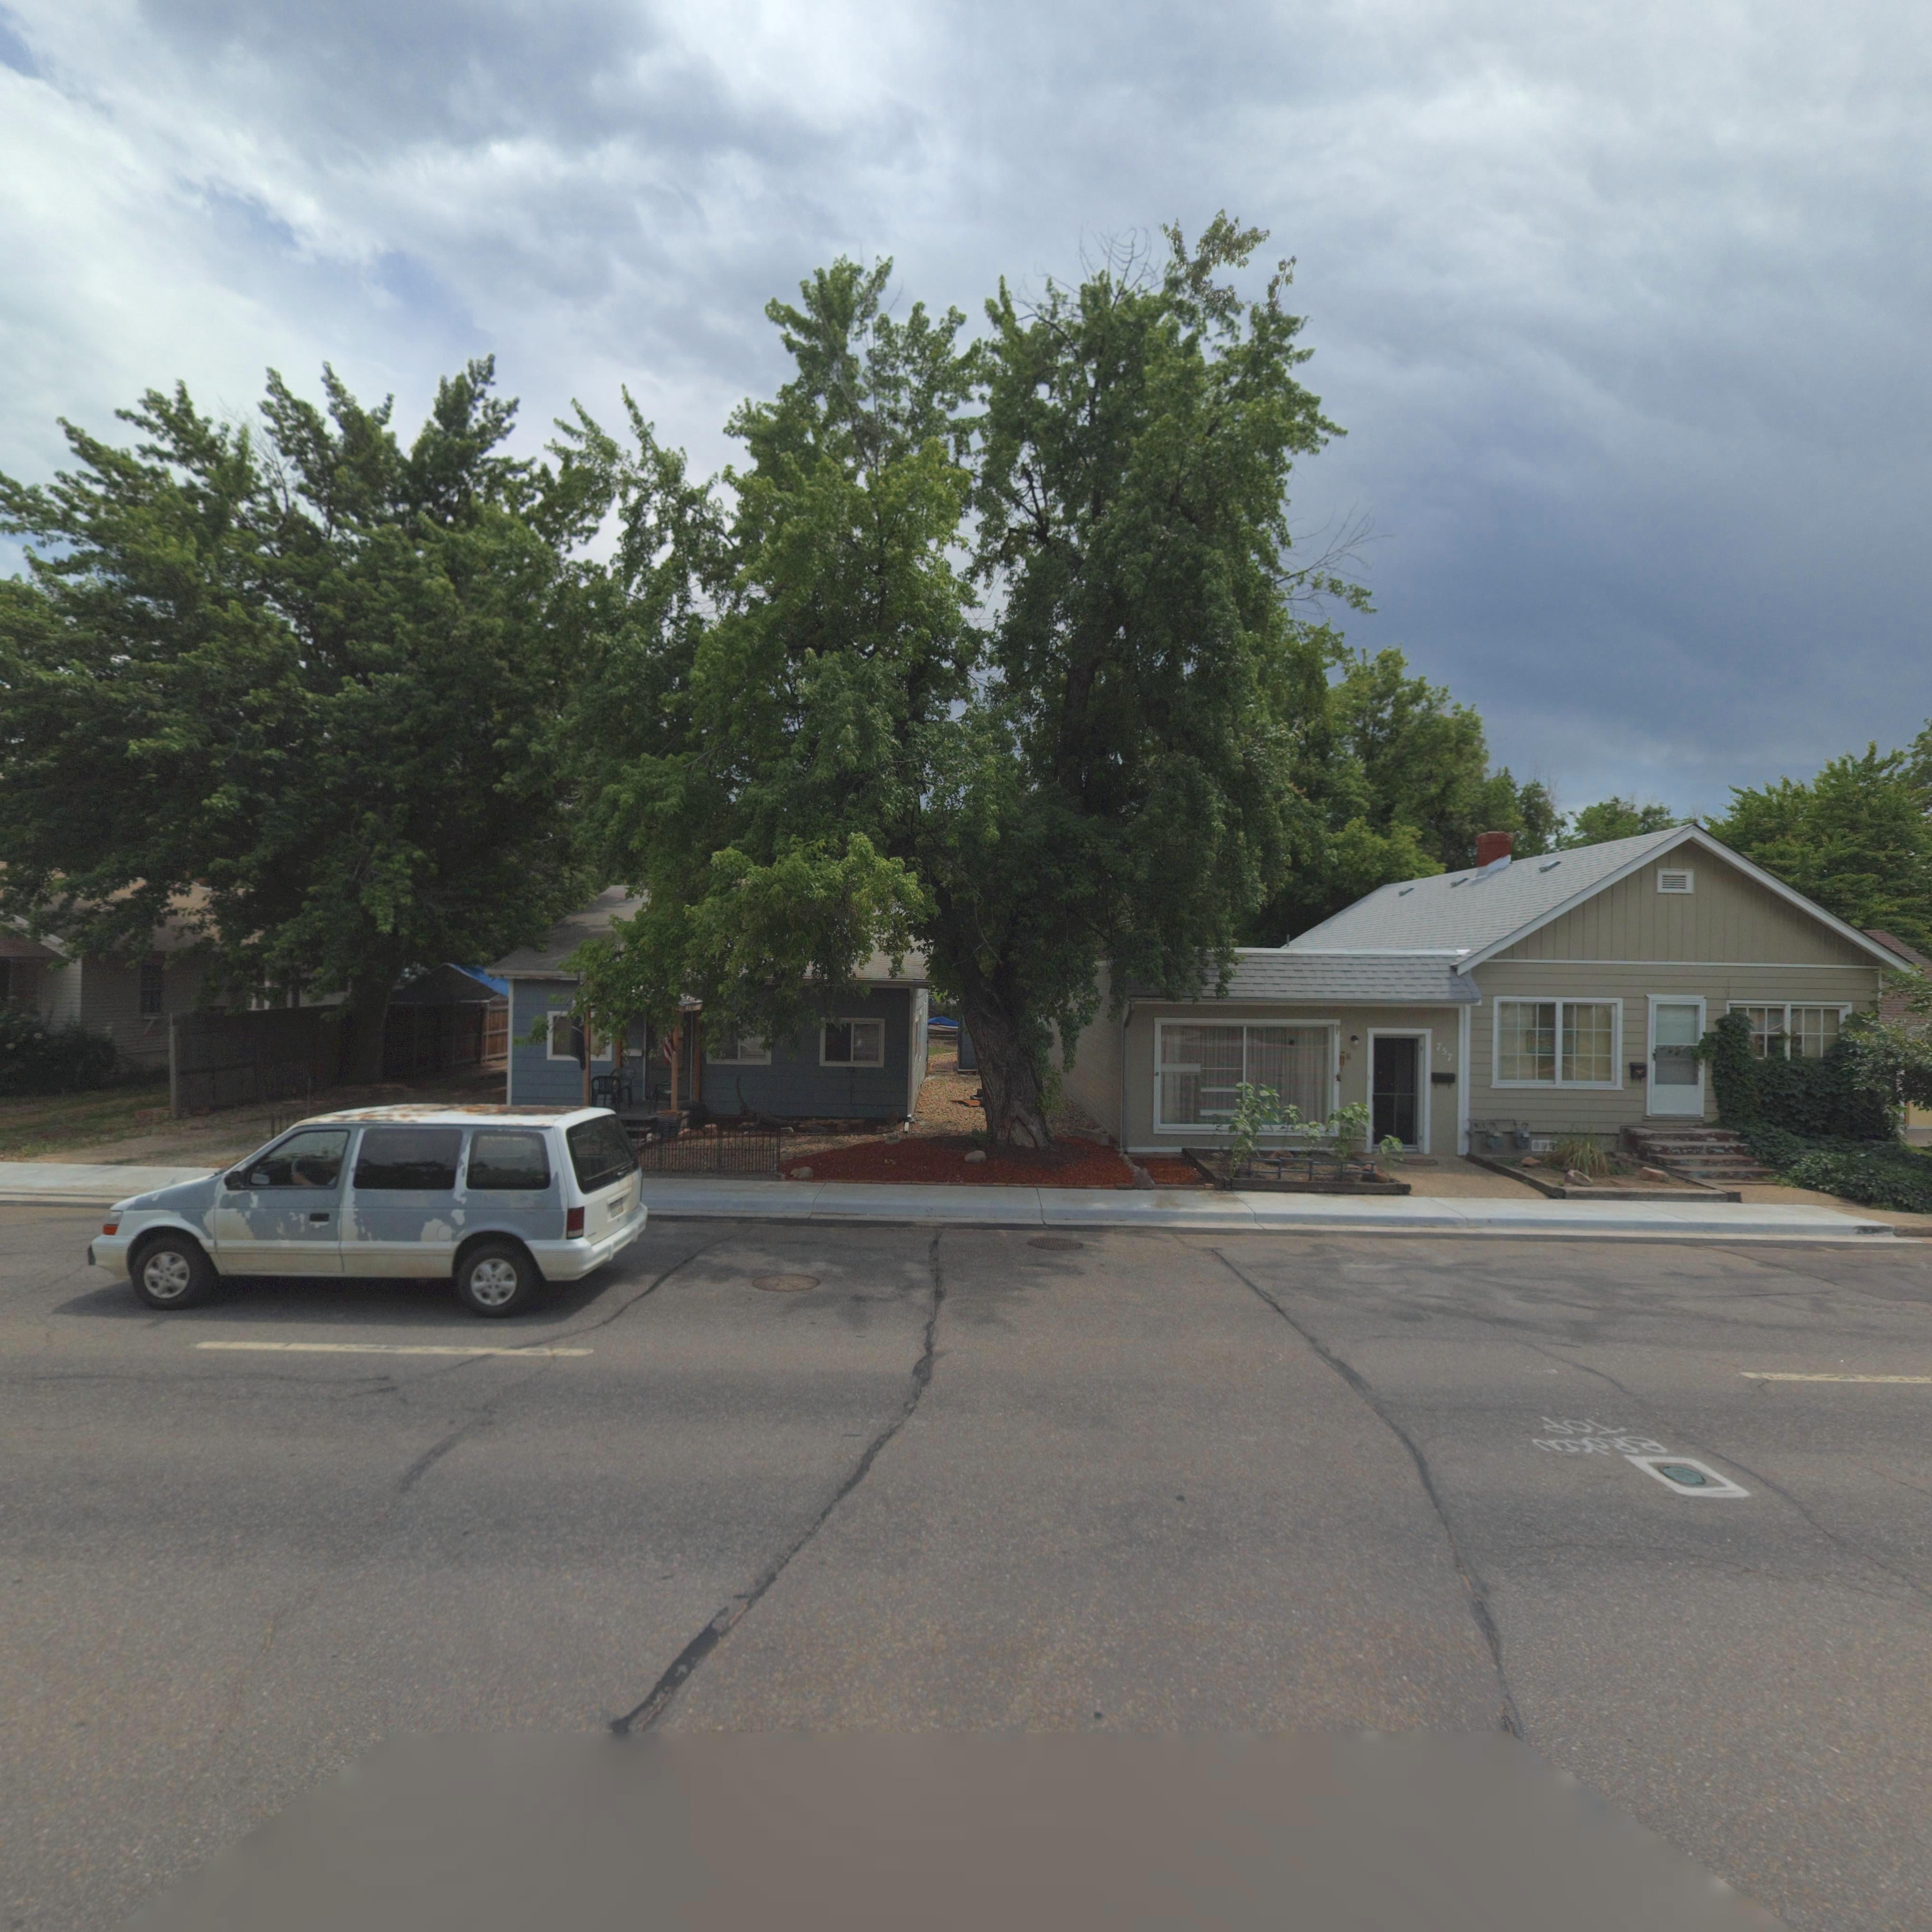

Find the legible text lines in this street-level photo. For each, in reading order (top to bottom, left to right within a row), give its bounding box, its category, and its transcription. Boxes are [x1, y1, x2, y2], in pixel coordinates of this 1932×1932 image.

[1436, 1042, 1453, 1062] StreetNumber: 757